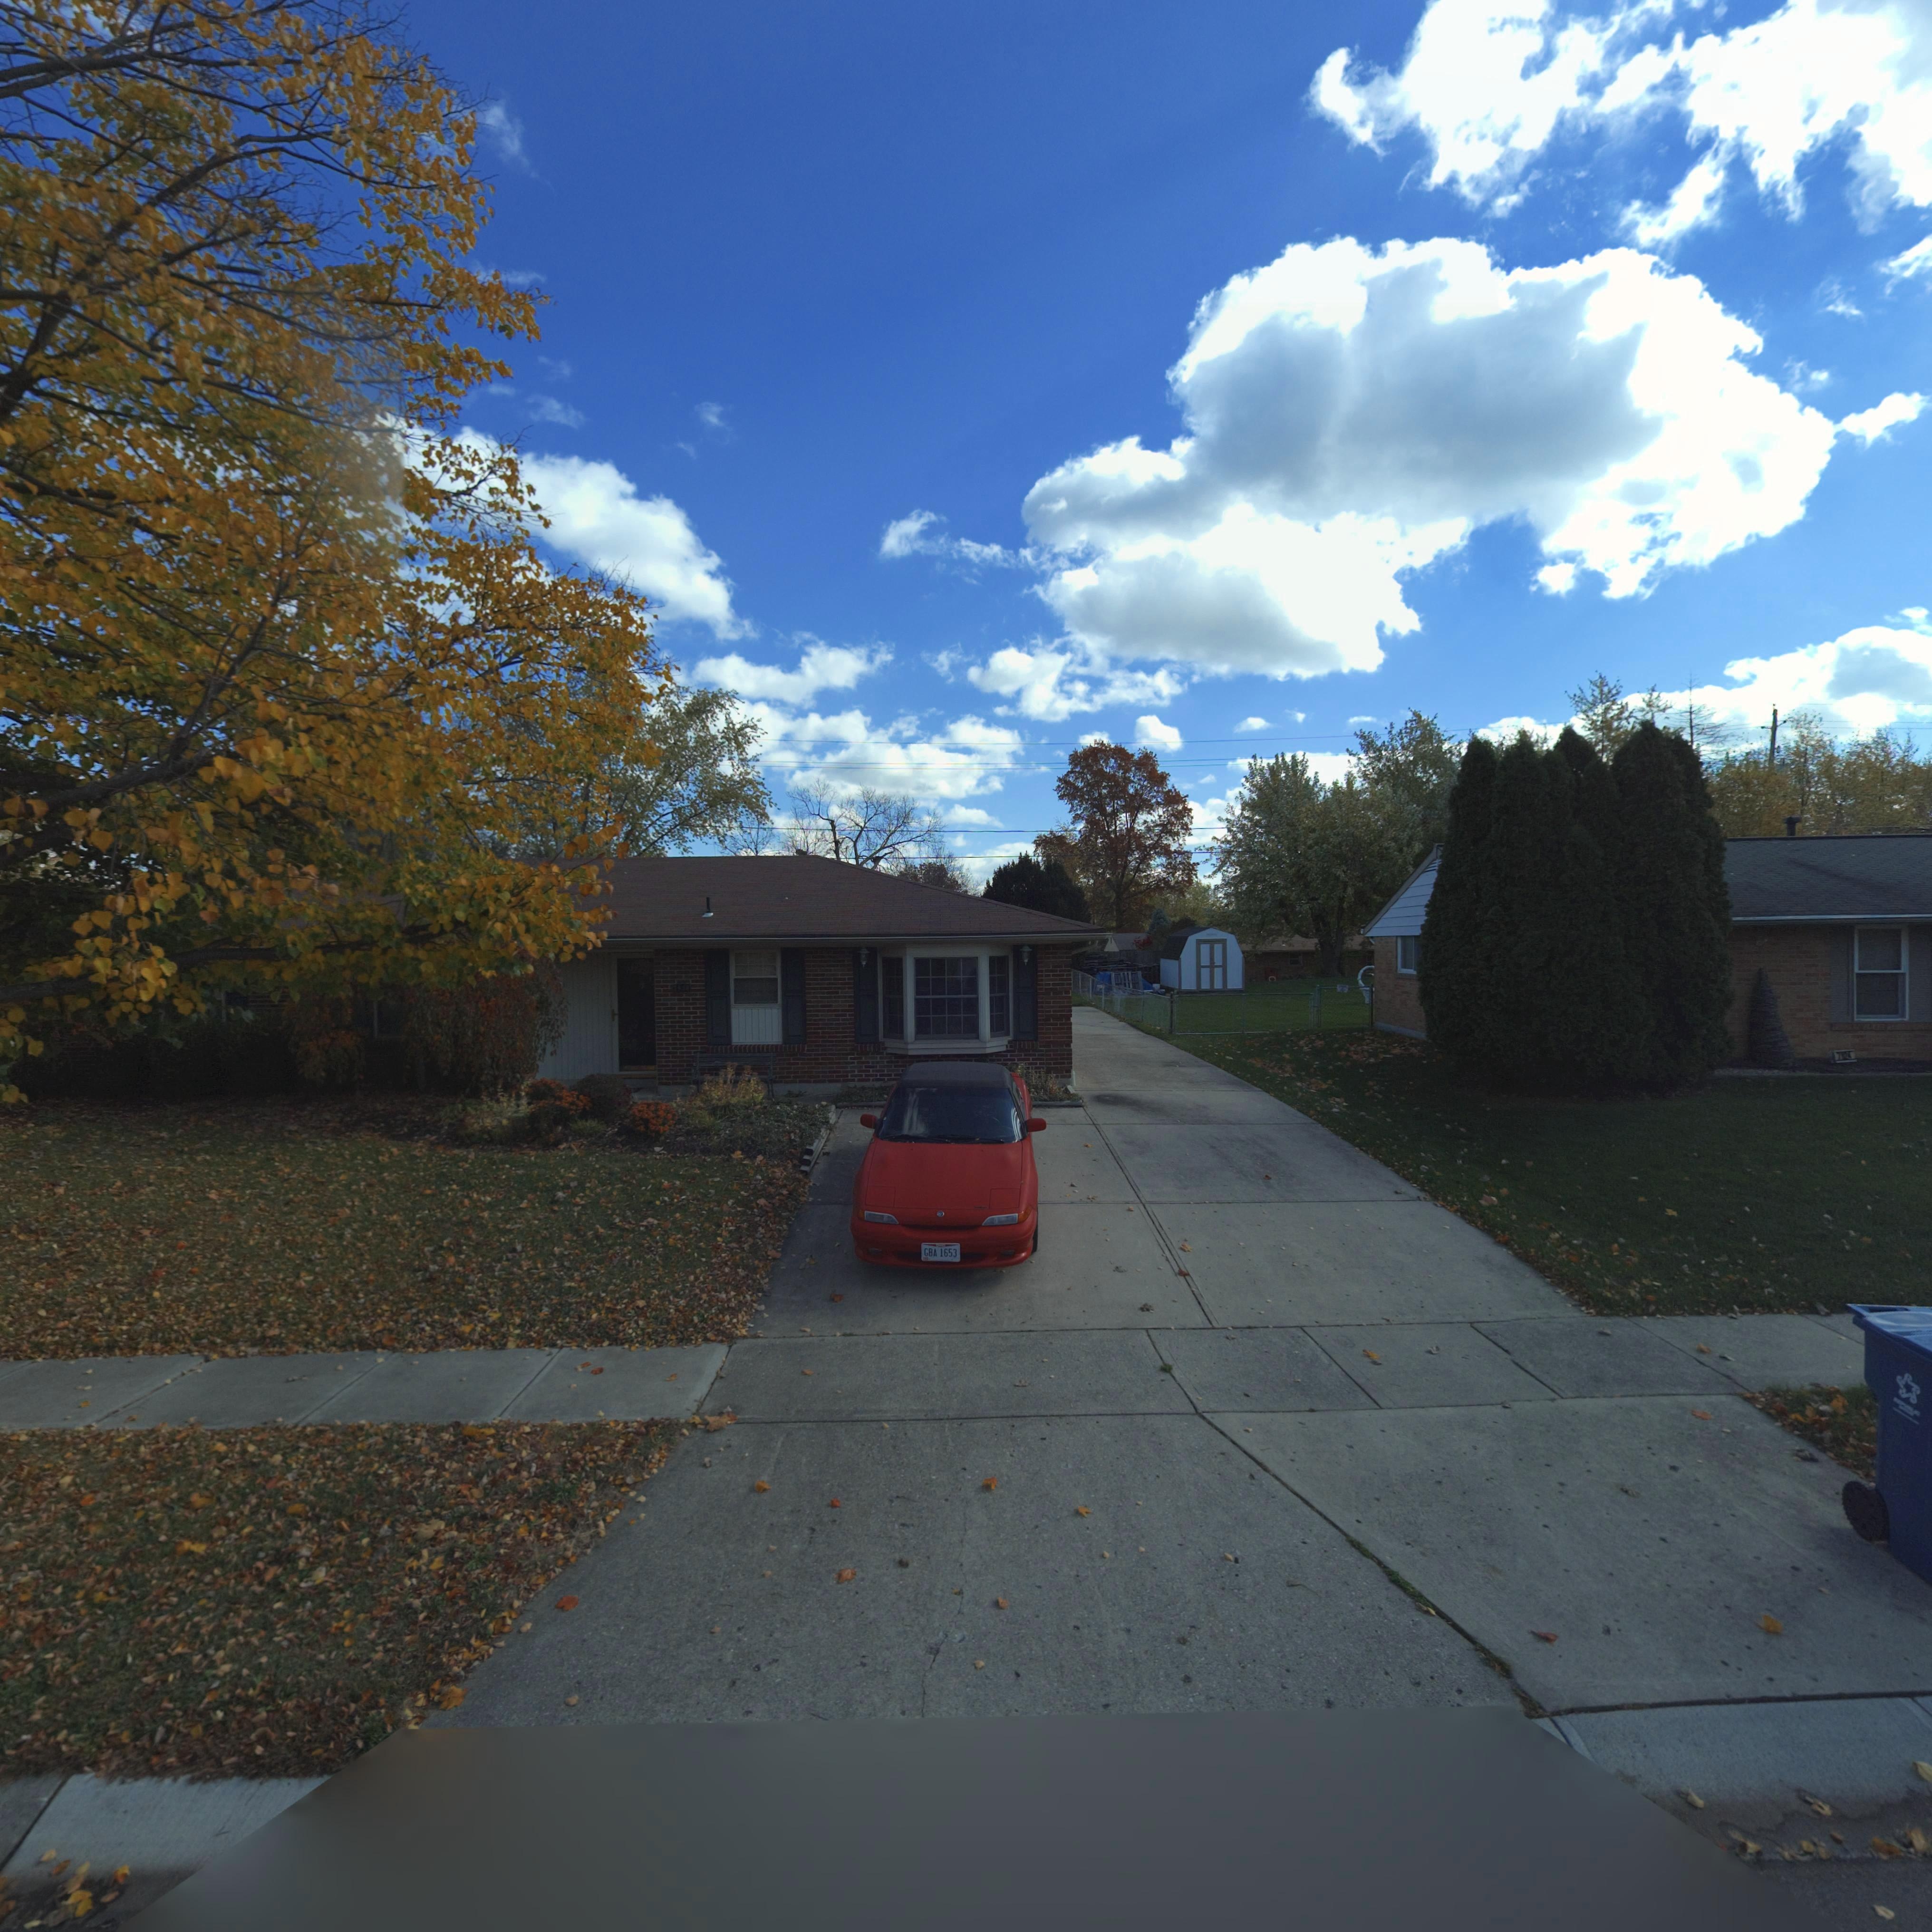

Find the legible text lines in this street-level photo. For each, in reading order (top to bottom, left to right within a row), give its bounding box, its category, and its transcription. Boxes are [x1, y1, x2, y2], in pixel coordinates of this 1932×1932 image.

[673, 984, 690, 992] StreetNumber: 79**